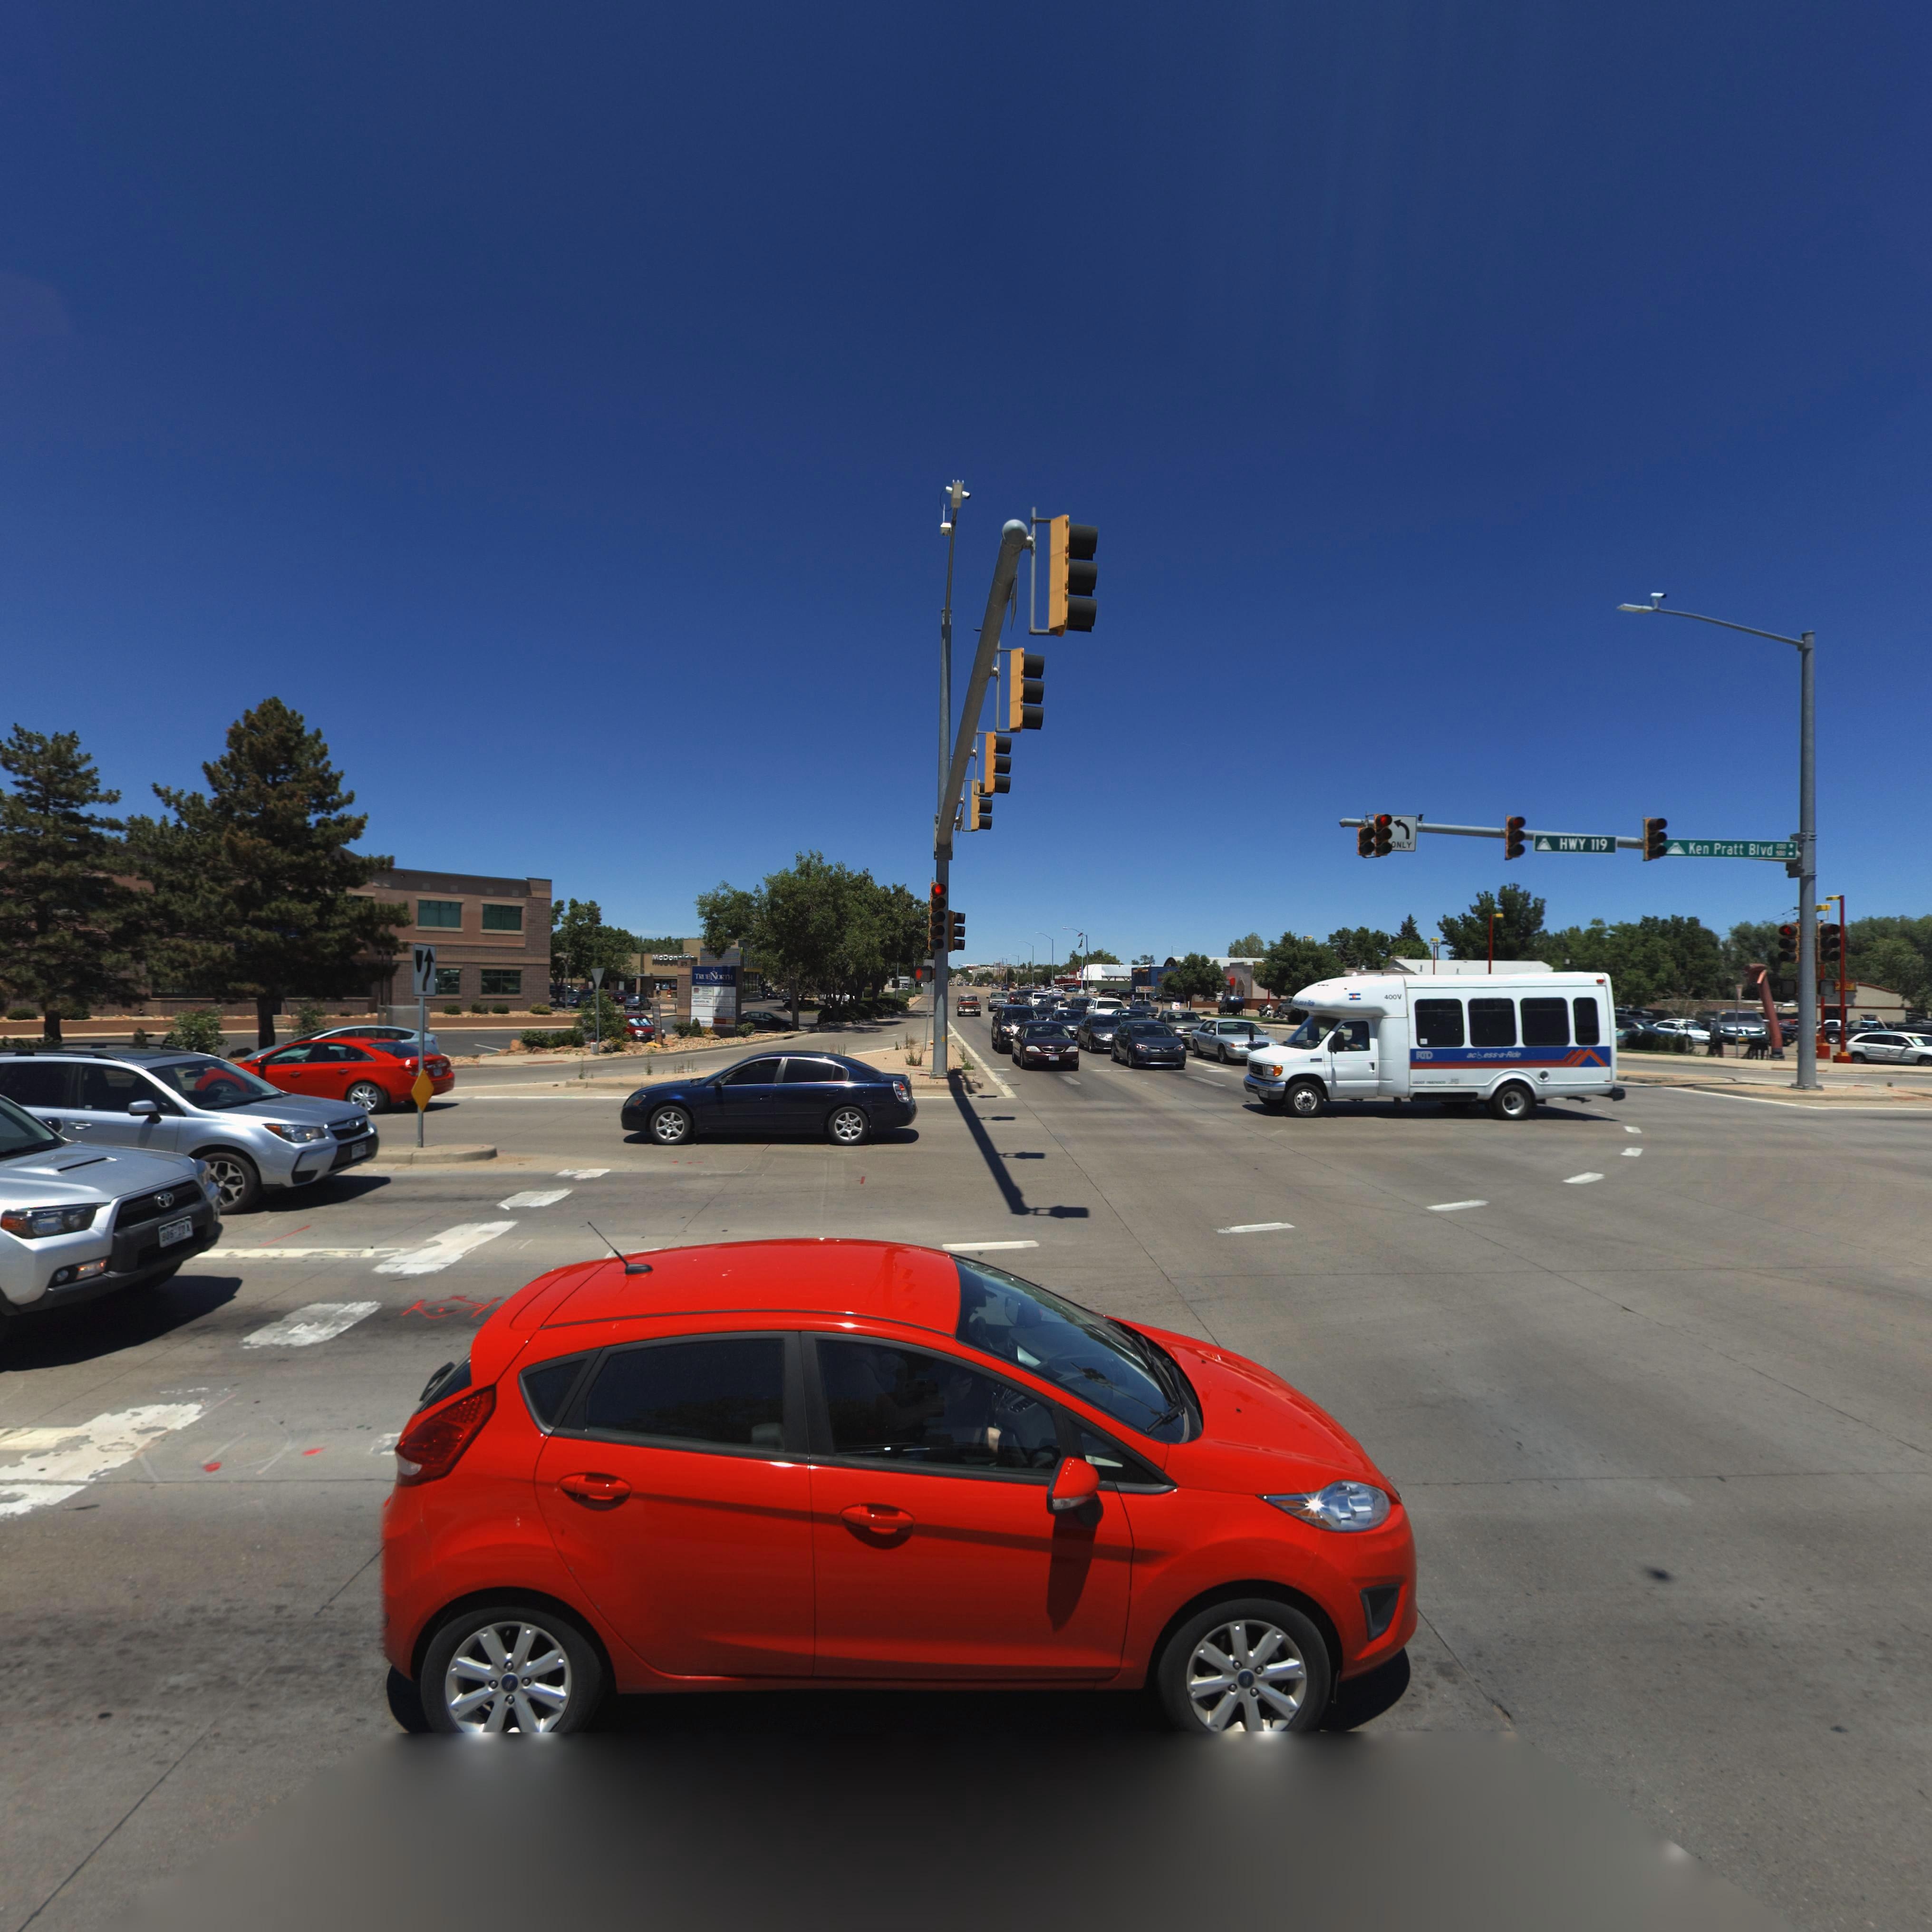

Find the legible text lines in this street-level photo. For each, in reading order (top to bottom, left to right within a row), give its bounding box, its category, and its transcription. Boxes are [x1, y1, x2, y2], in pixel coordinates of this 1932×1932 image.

[1559, 838, 1608, 850] StreetName: HWY 119
[1689, 842, 1773, 855] StreetName: Ken Pratt Blvd
[1776, 843, 1787, 849] StreetNumberRange: 200
[1776, 850, 1794, 856] StreetNumberRange: 500->
[652, 954, 695, 961] BusinessName: McDon*****
[693, 972, 732, 980] BusinessName: TRUENORTH